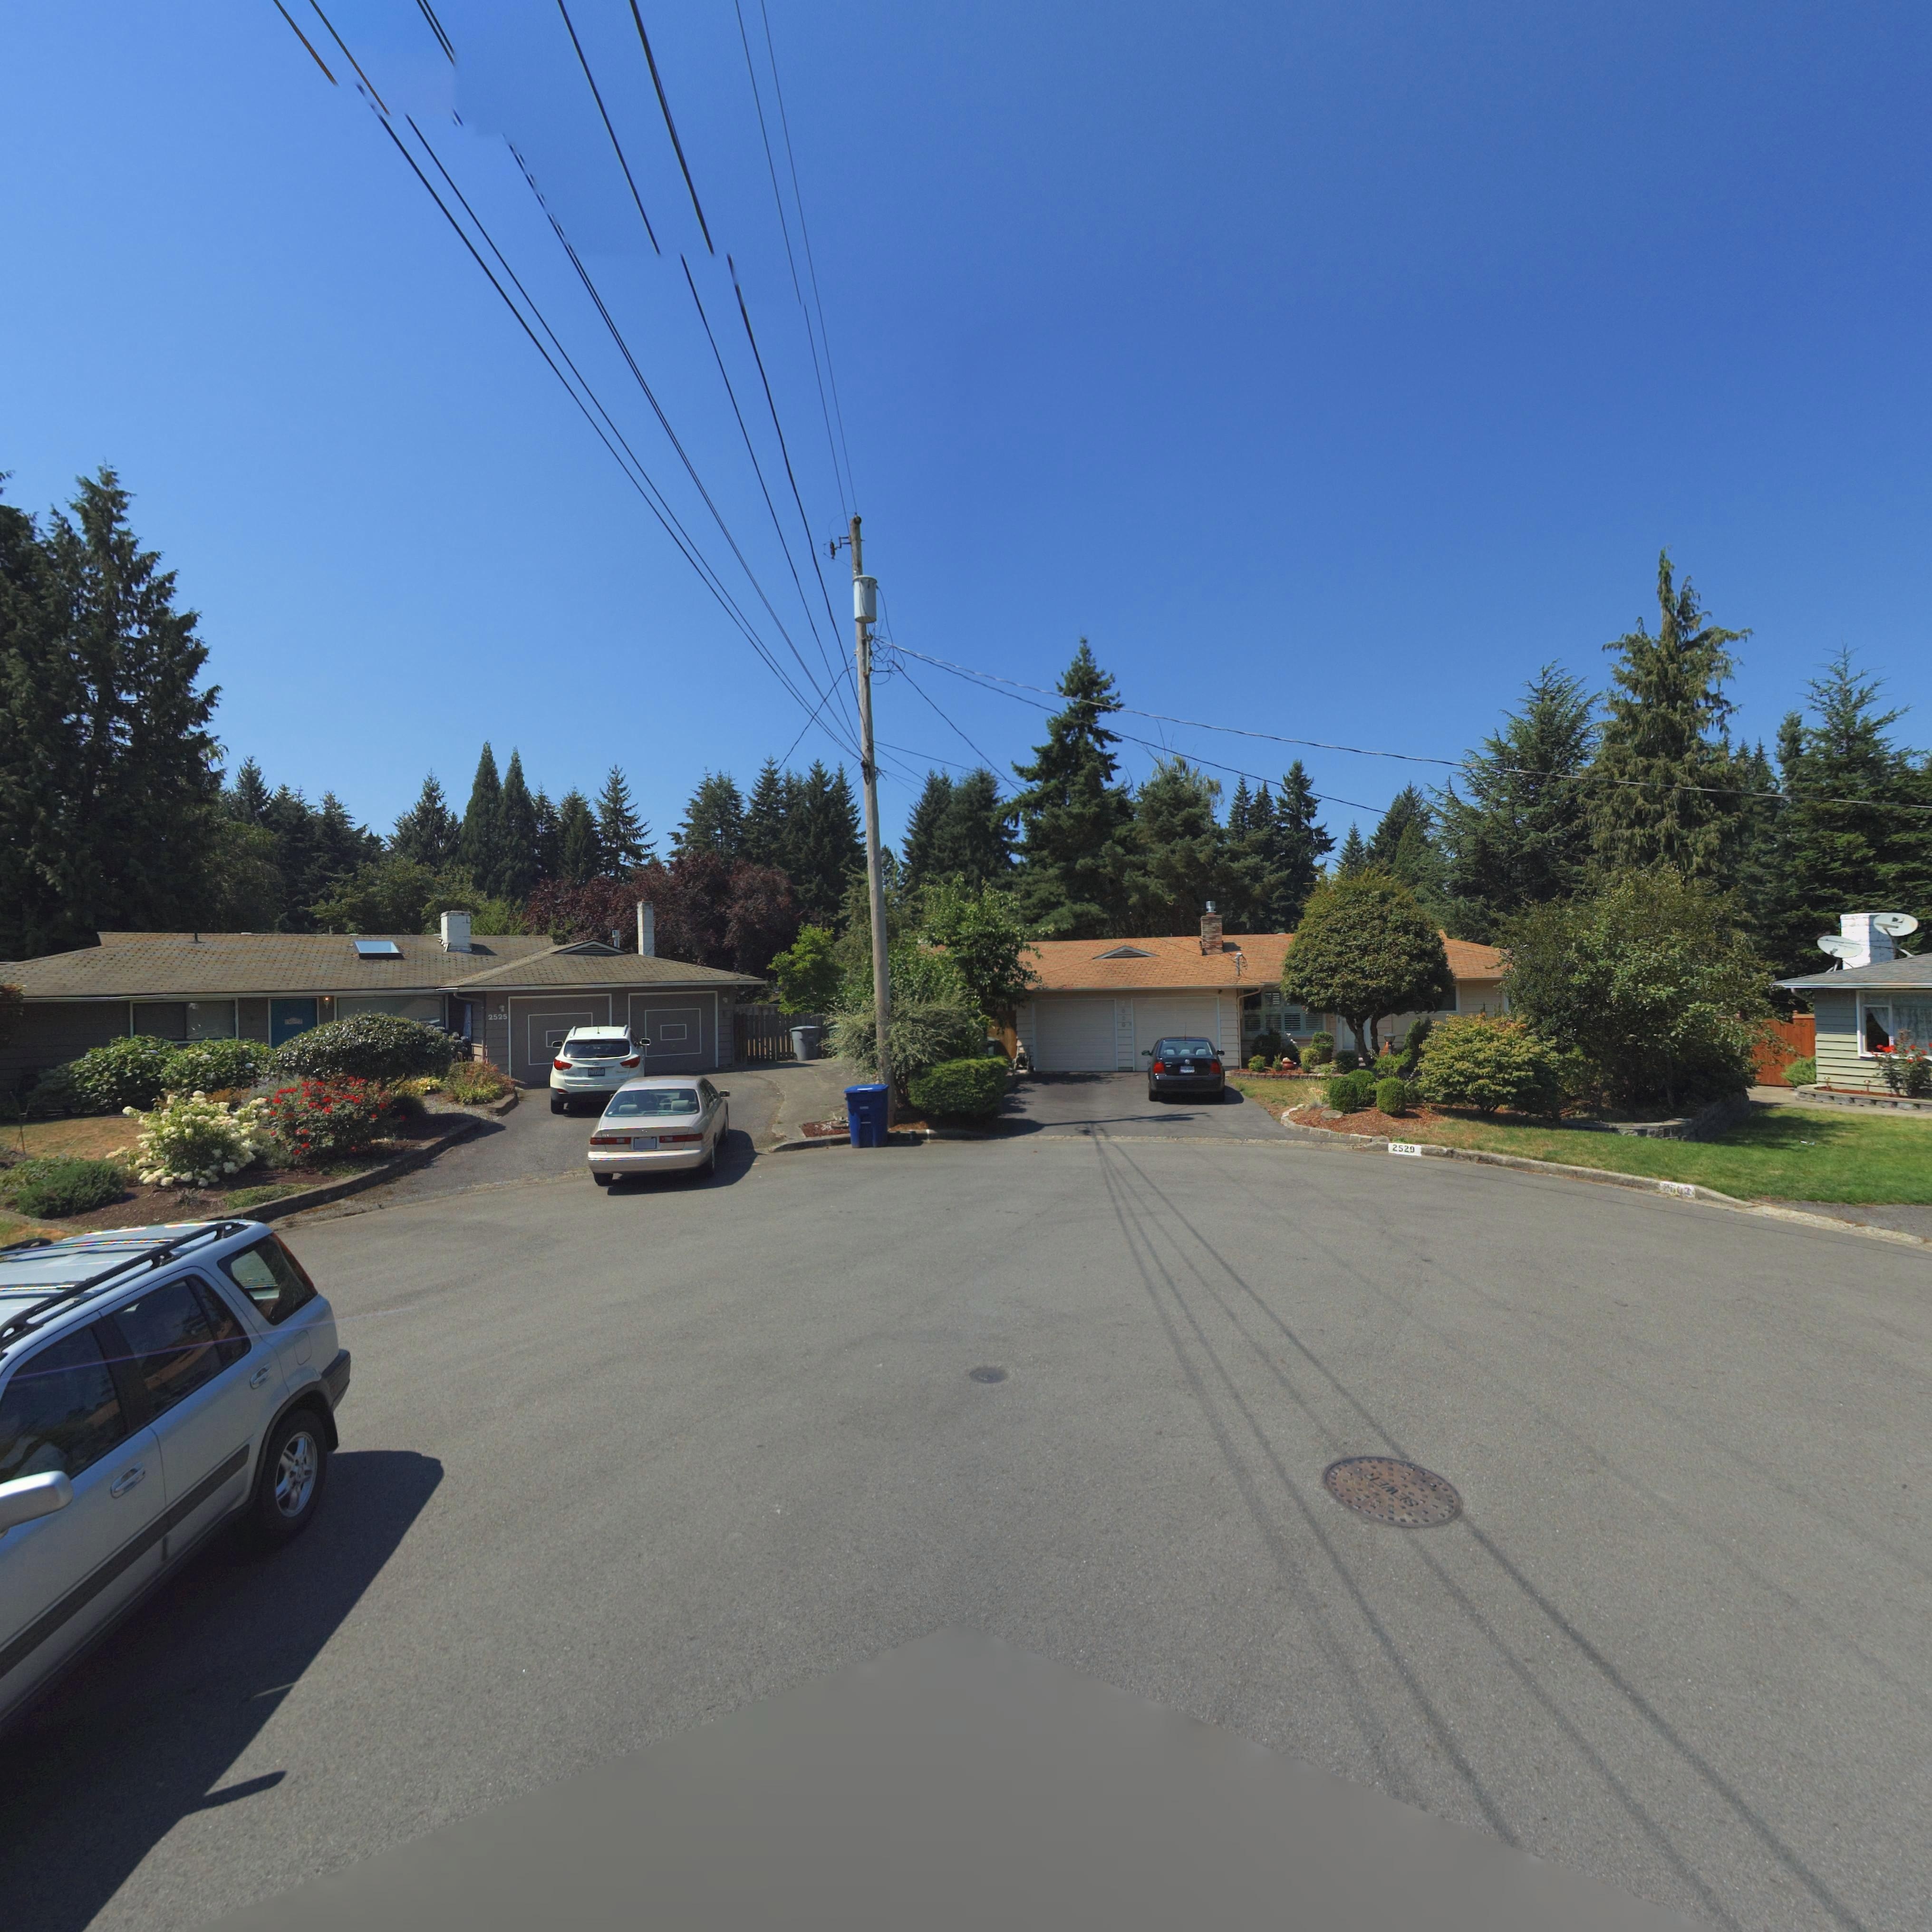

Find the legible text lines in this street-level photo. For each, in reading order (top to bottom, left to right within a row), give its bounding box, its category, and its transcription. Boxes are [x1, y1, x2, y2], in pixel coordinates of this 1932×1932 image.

[487, 1013, 507, 1021] StreetNumber: 2525
[1120, 1000, 1126, 1027] StreetNumber: 2529
[1392, 1143, 1415, 1153] StreetNumber: 2529